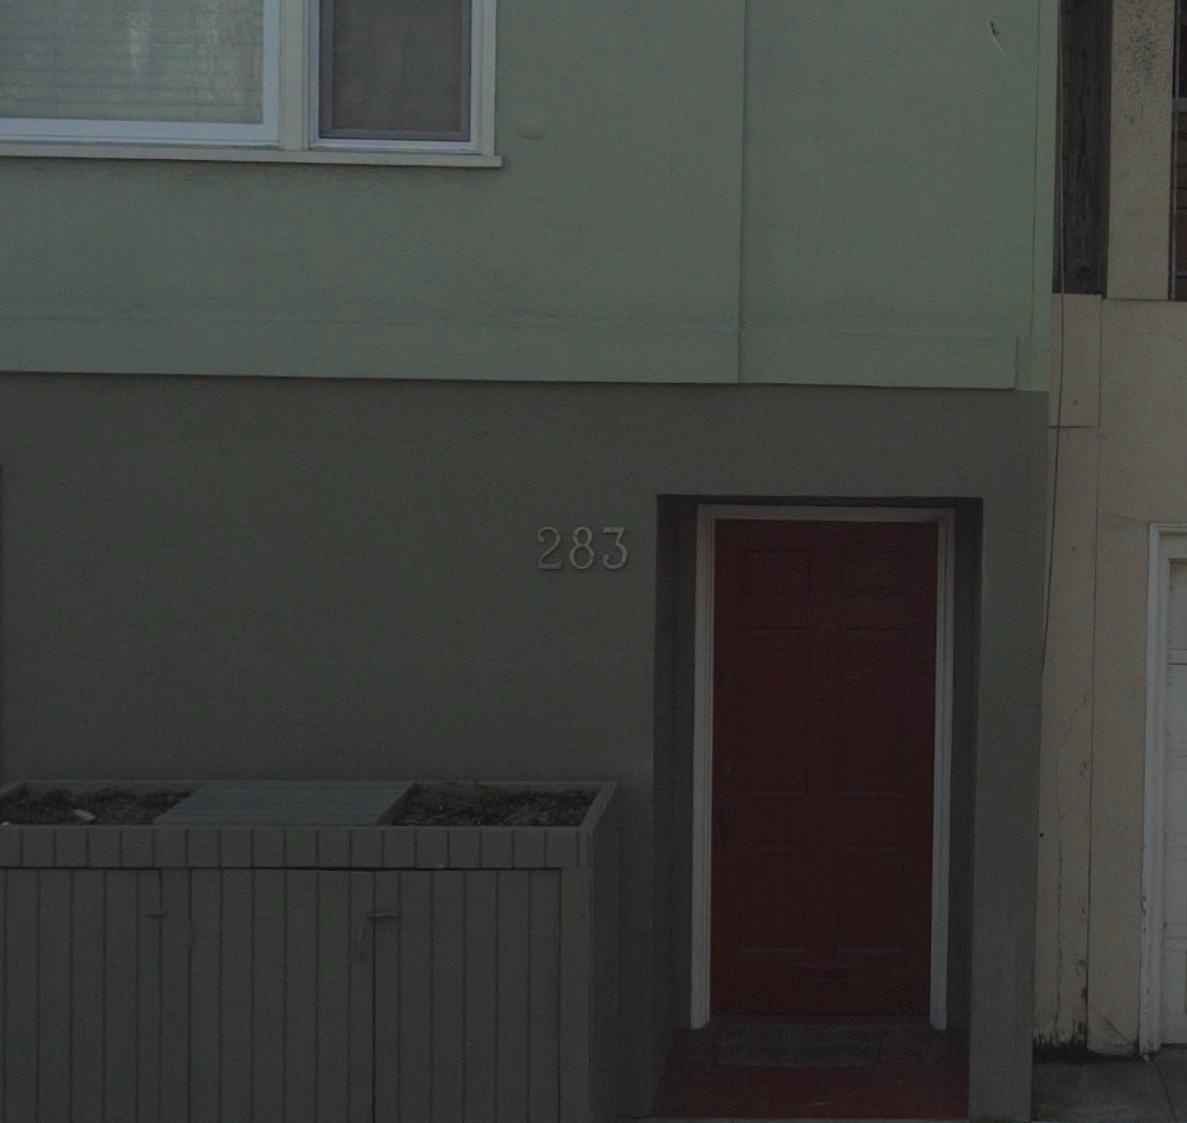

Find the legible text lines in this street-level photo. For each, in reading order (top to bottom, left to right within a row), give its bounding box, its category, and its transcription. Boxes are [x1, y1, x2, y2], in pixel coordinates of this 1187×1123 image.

[533, 524, 630, 573] StreetNumber: 283